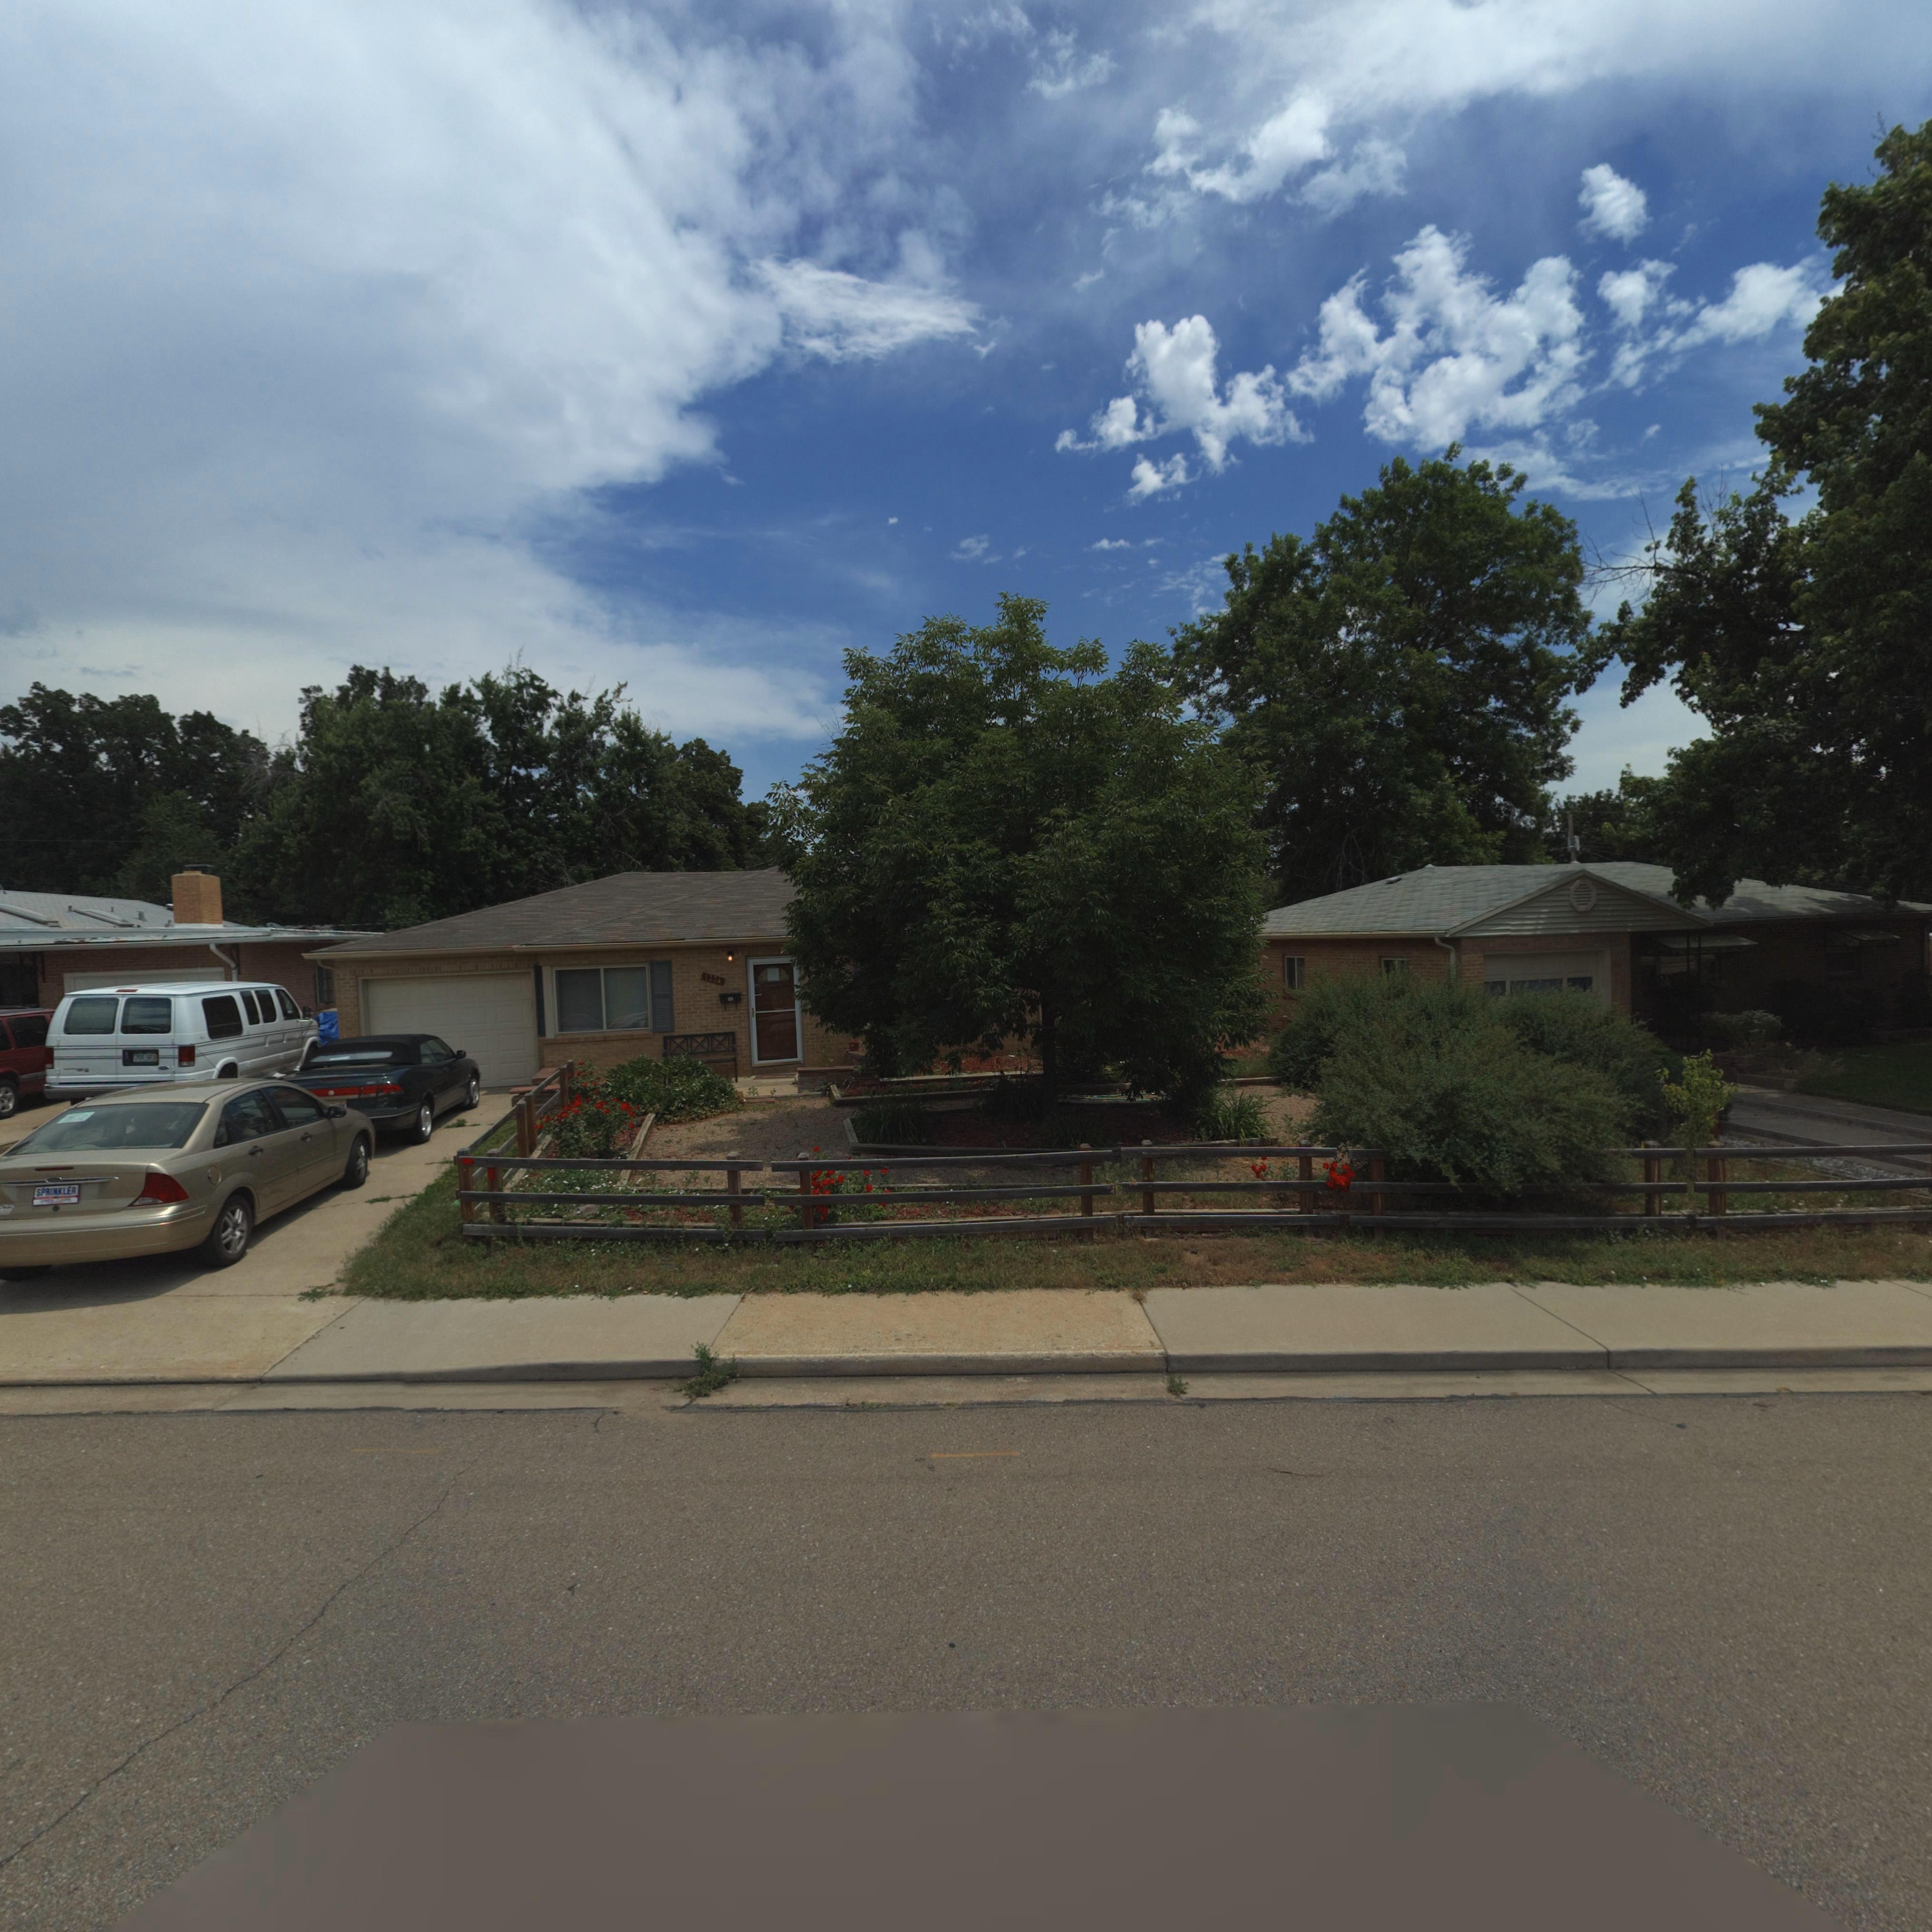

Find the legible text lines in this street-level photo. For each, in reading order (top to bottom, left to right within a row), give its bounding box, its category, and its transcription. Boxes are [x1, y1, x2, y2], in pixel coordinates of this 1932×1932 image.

[704, 973, 722, 985] StreetNumber: 1224